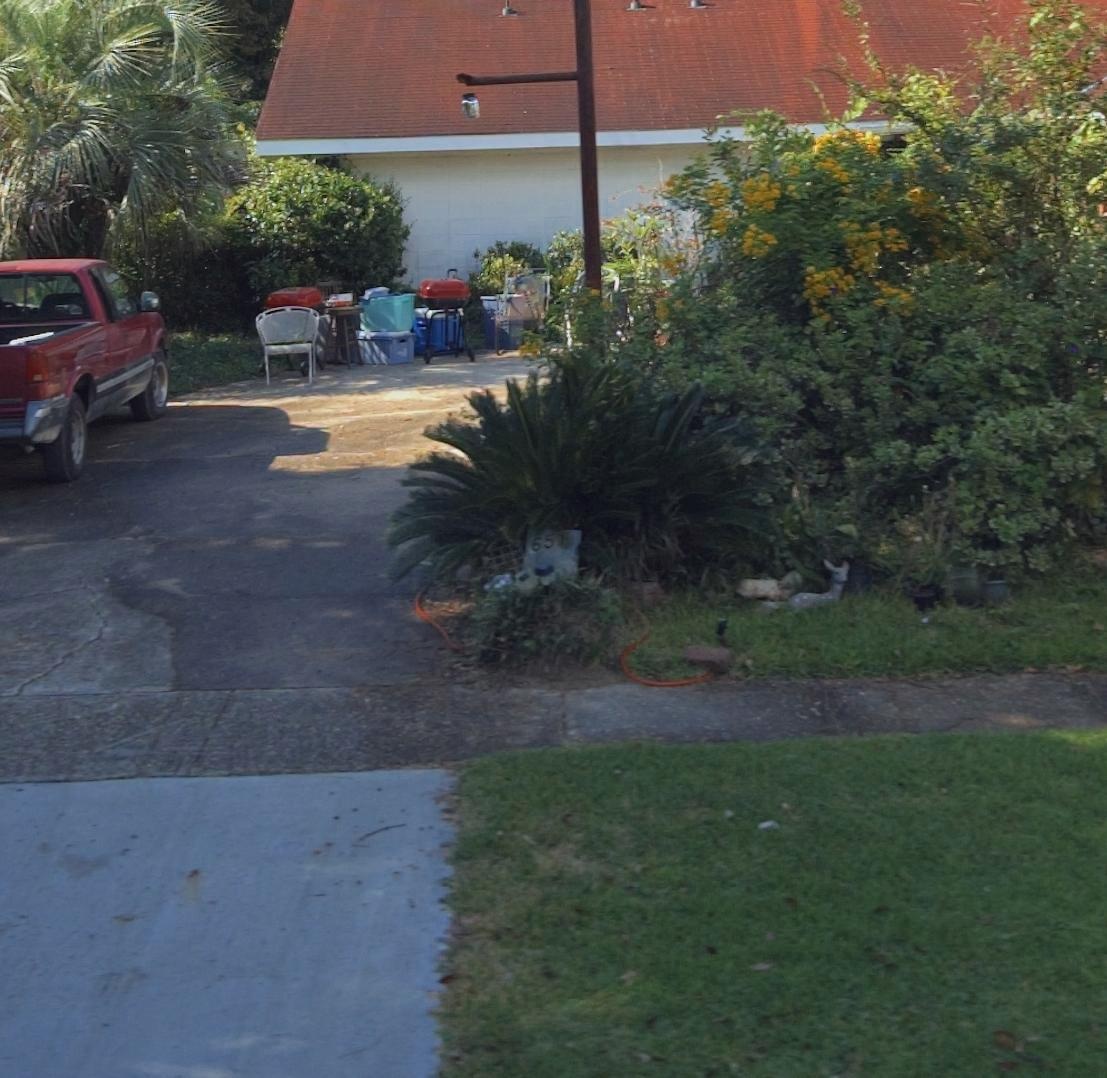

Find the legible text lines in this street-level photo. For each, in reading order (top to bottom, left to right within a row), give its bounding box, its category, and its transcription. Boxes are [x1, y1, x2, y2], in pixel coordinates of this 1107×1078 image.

[531, 530, 570, 552] StreetNumber: 651